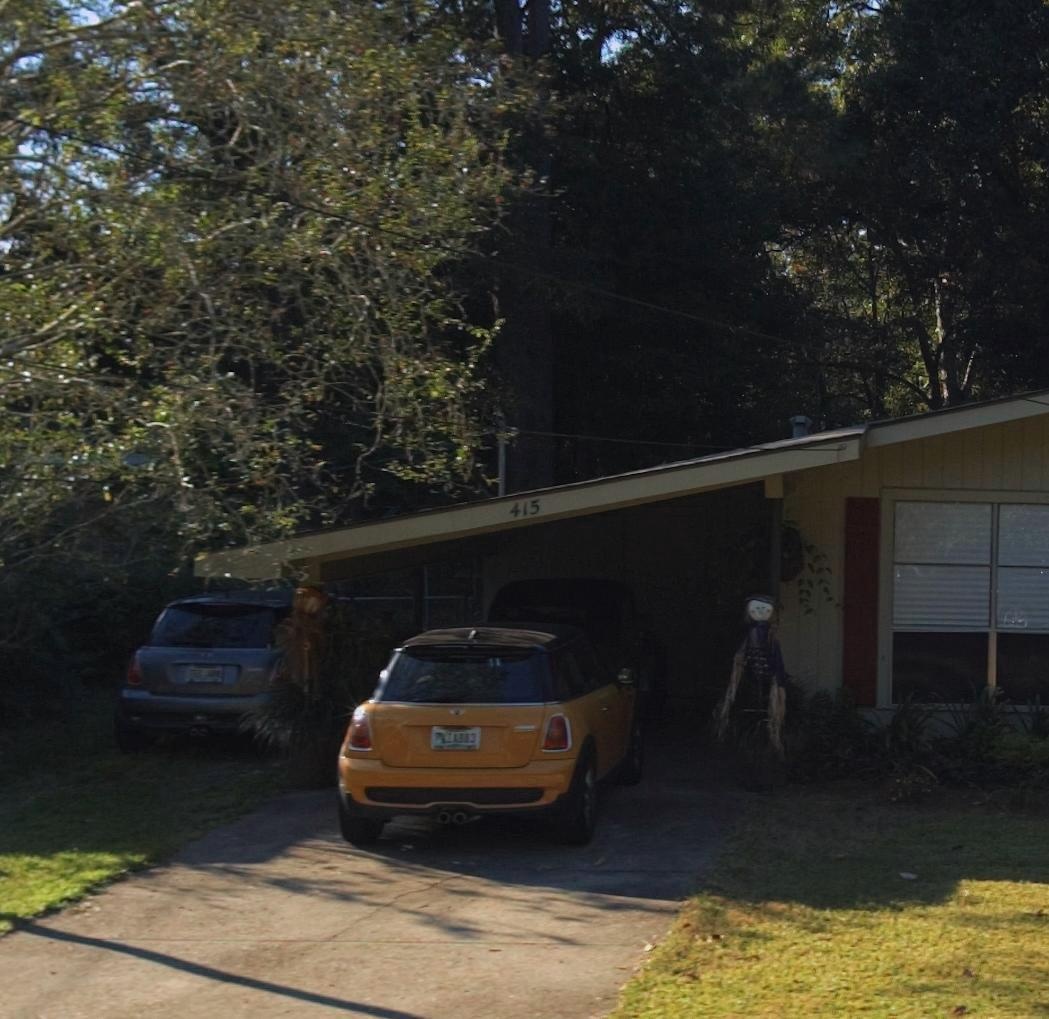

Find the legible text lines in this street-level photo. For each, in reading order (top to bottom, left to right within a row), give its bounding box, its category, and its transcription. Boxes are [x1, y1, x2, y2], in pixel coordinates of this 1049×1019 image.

[507, 495, 542, 521] StreetNumber: 415